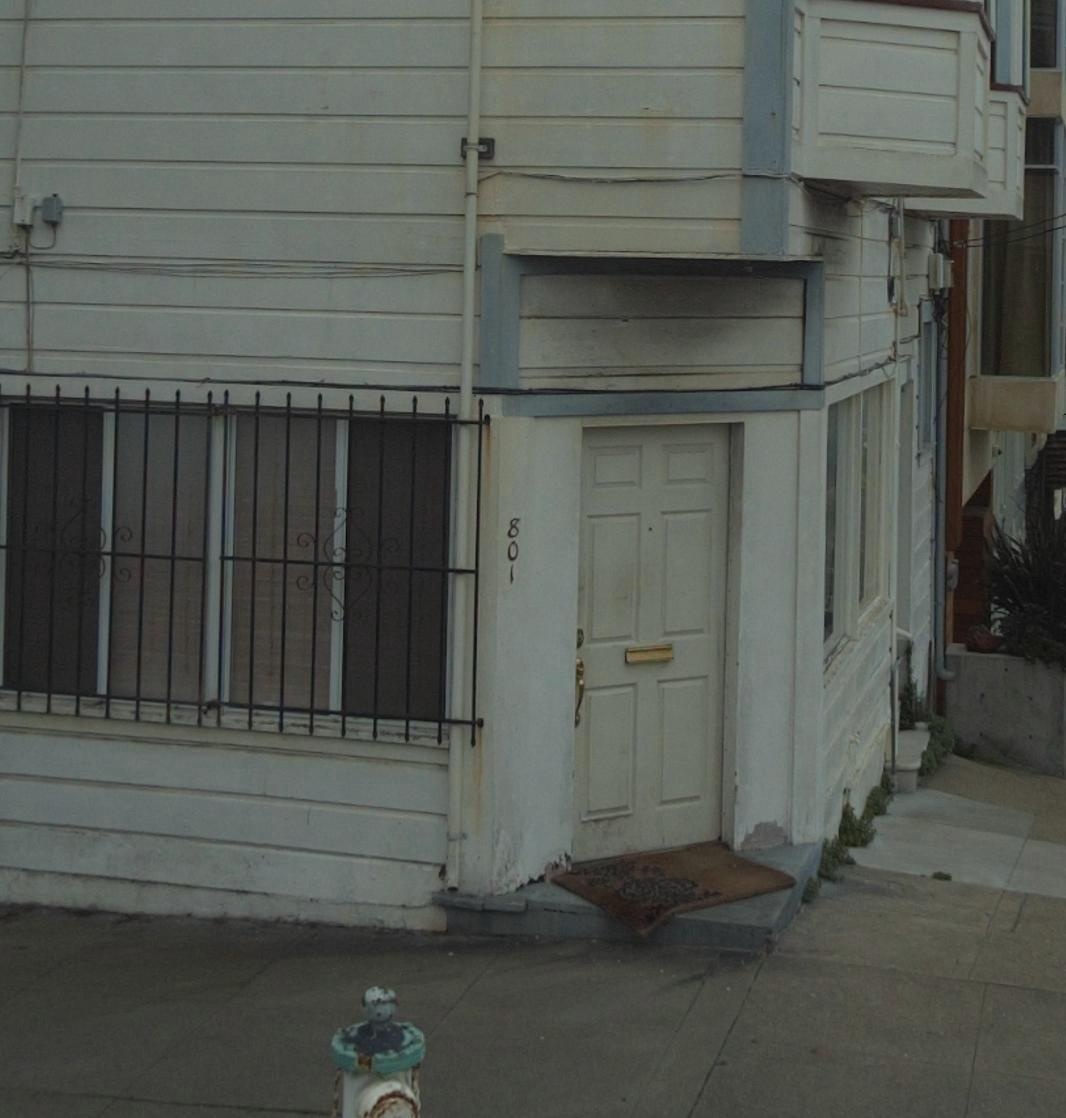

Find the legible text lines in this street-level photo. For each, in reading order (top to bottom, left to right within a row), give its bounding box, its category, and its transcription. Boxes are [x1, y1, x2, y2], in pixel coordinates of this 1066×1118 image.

[505, 516, 522, 585] StreetNumber: 801